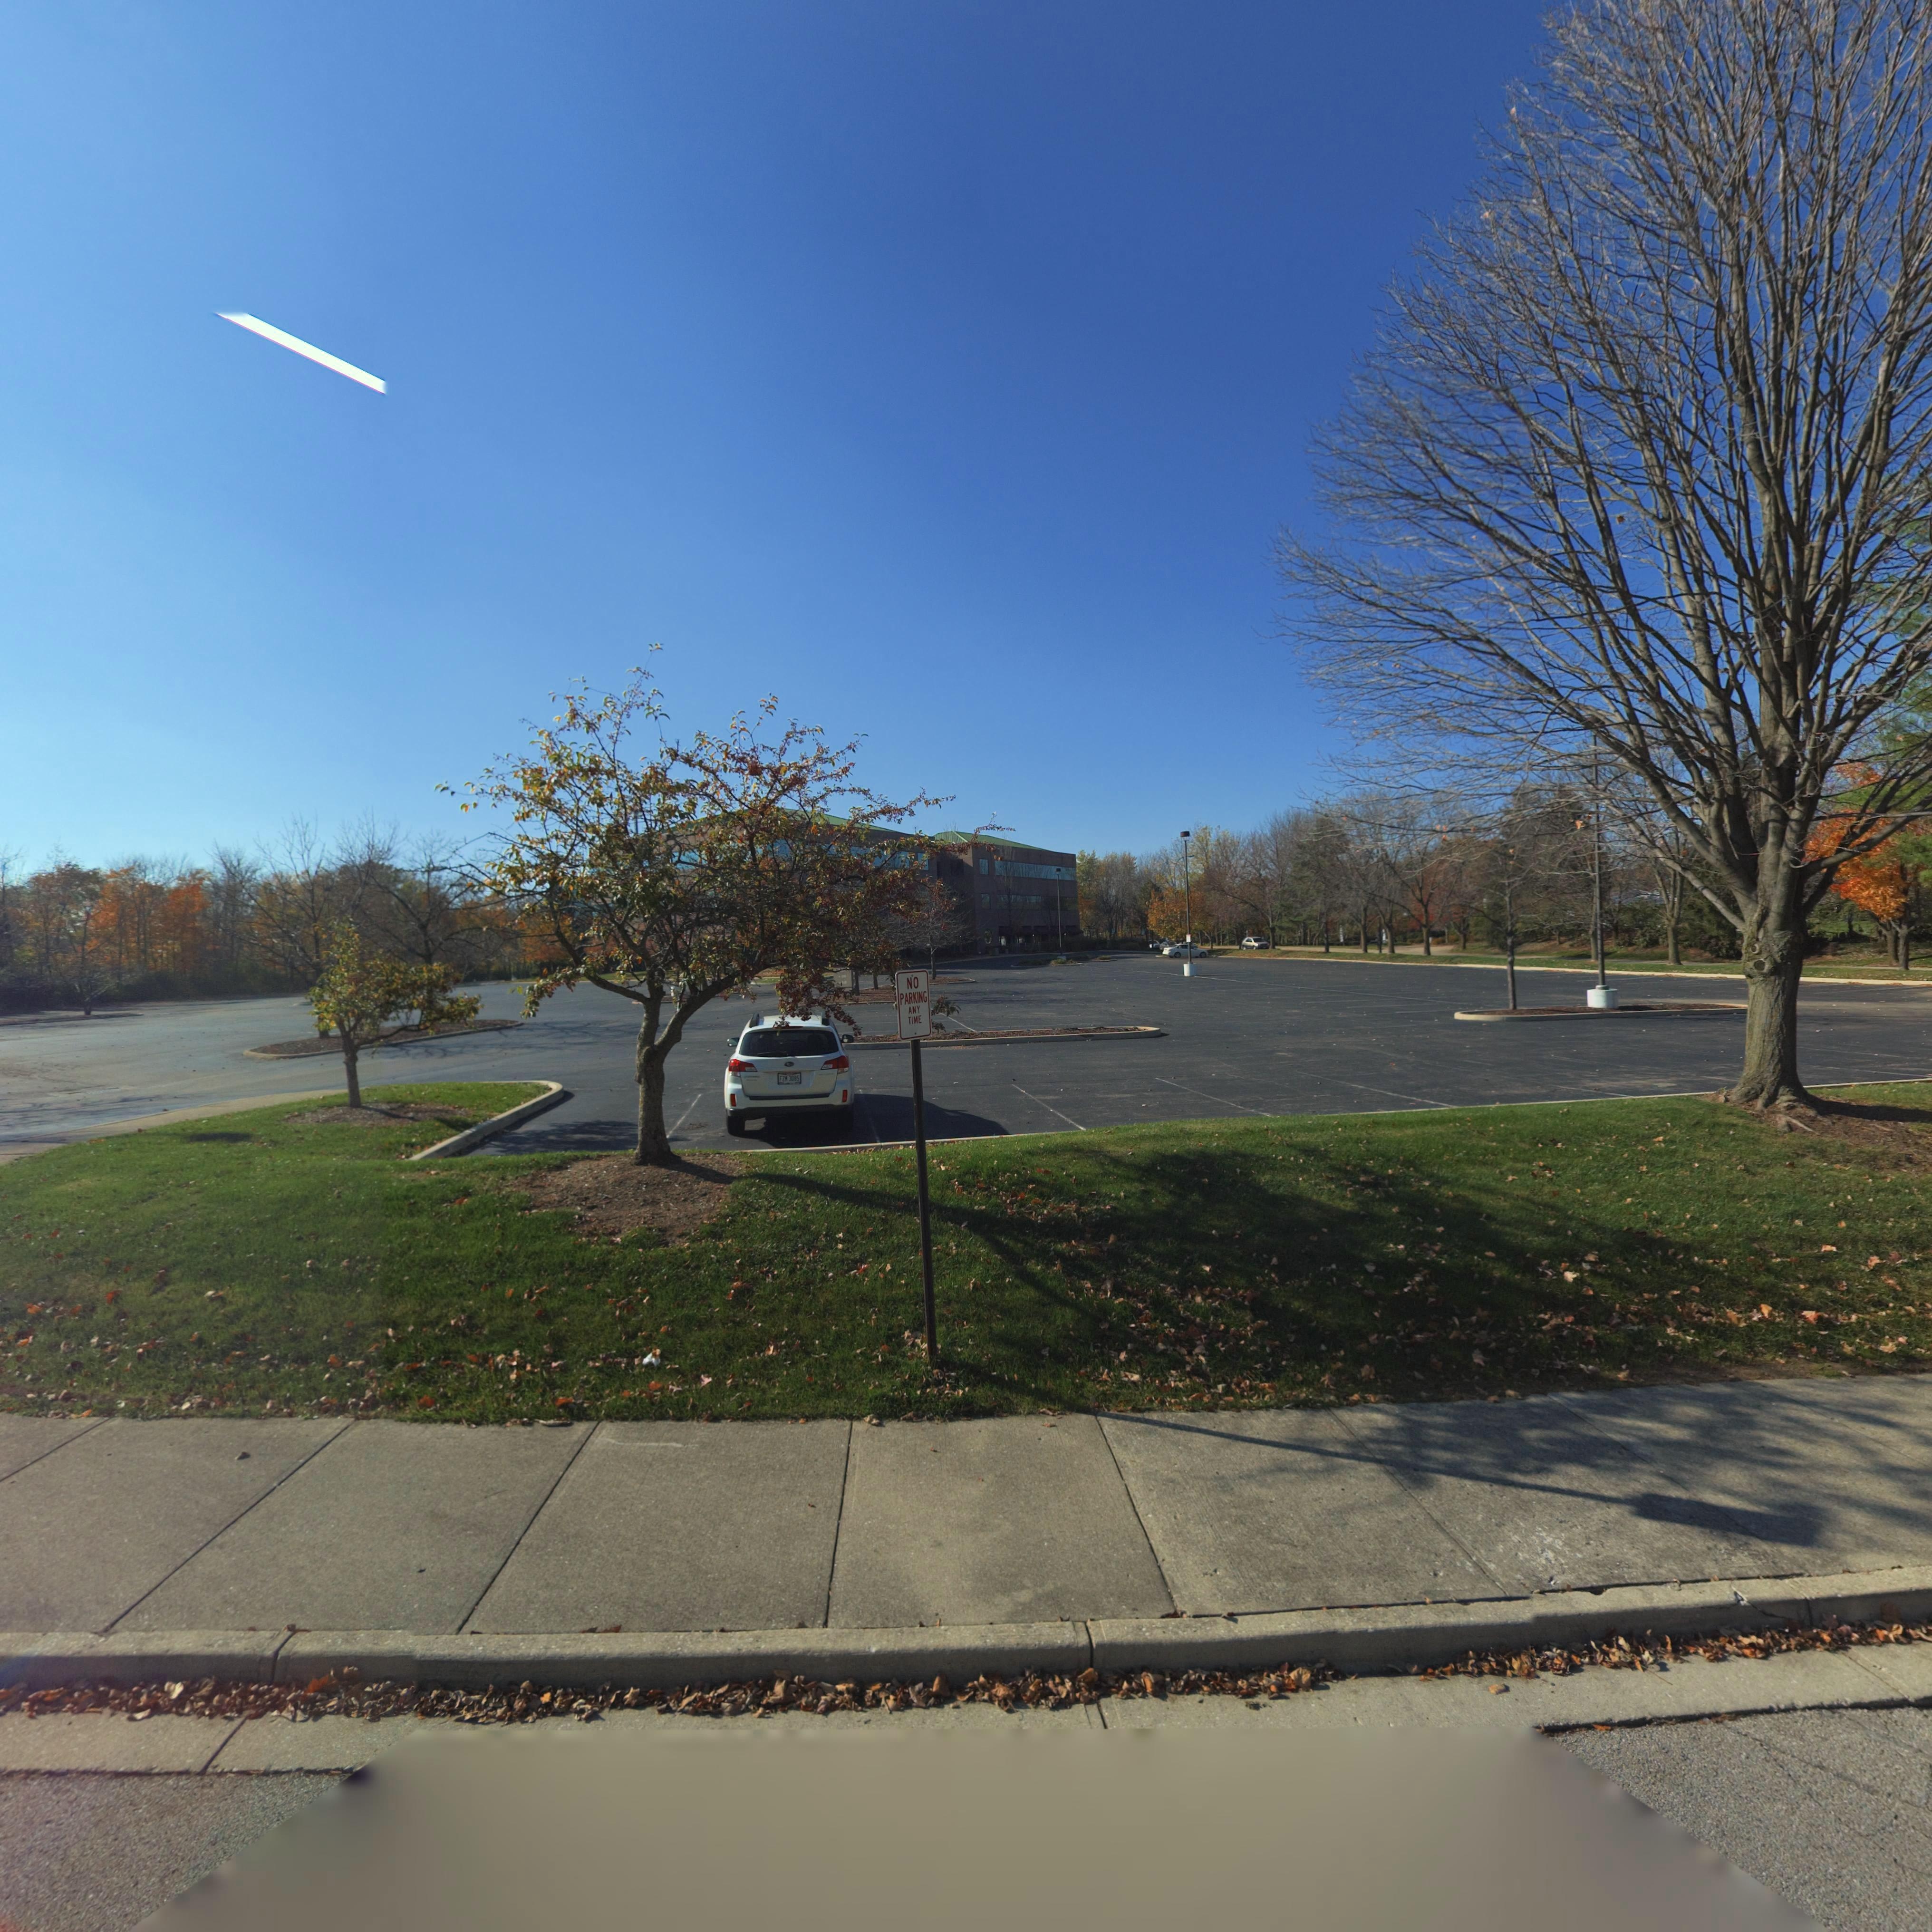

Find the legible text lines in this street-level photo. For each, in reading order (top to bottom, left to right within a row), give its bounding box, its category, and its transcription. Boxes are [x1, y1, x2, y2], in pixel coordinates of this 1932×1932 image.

[907, 976, 919, 990] None: NO
[899, 990, 927, 1006] None: PARKING
[908, 1005, 920, 1015] None: ANY
[908, 1014, 923, 1025] None: TIME
[779, 1075, 800, 1082] None: FZM 3085